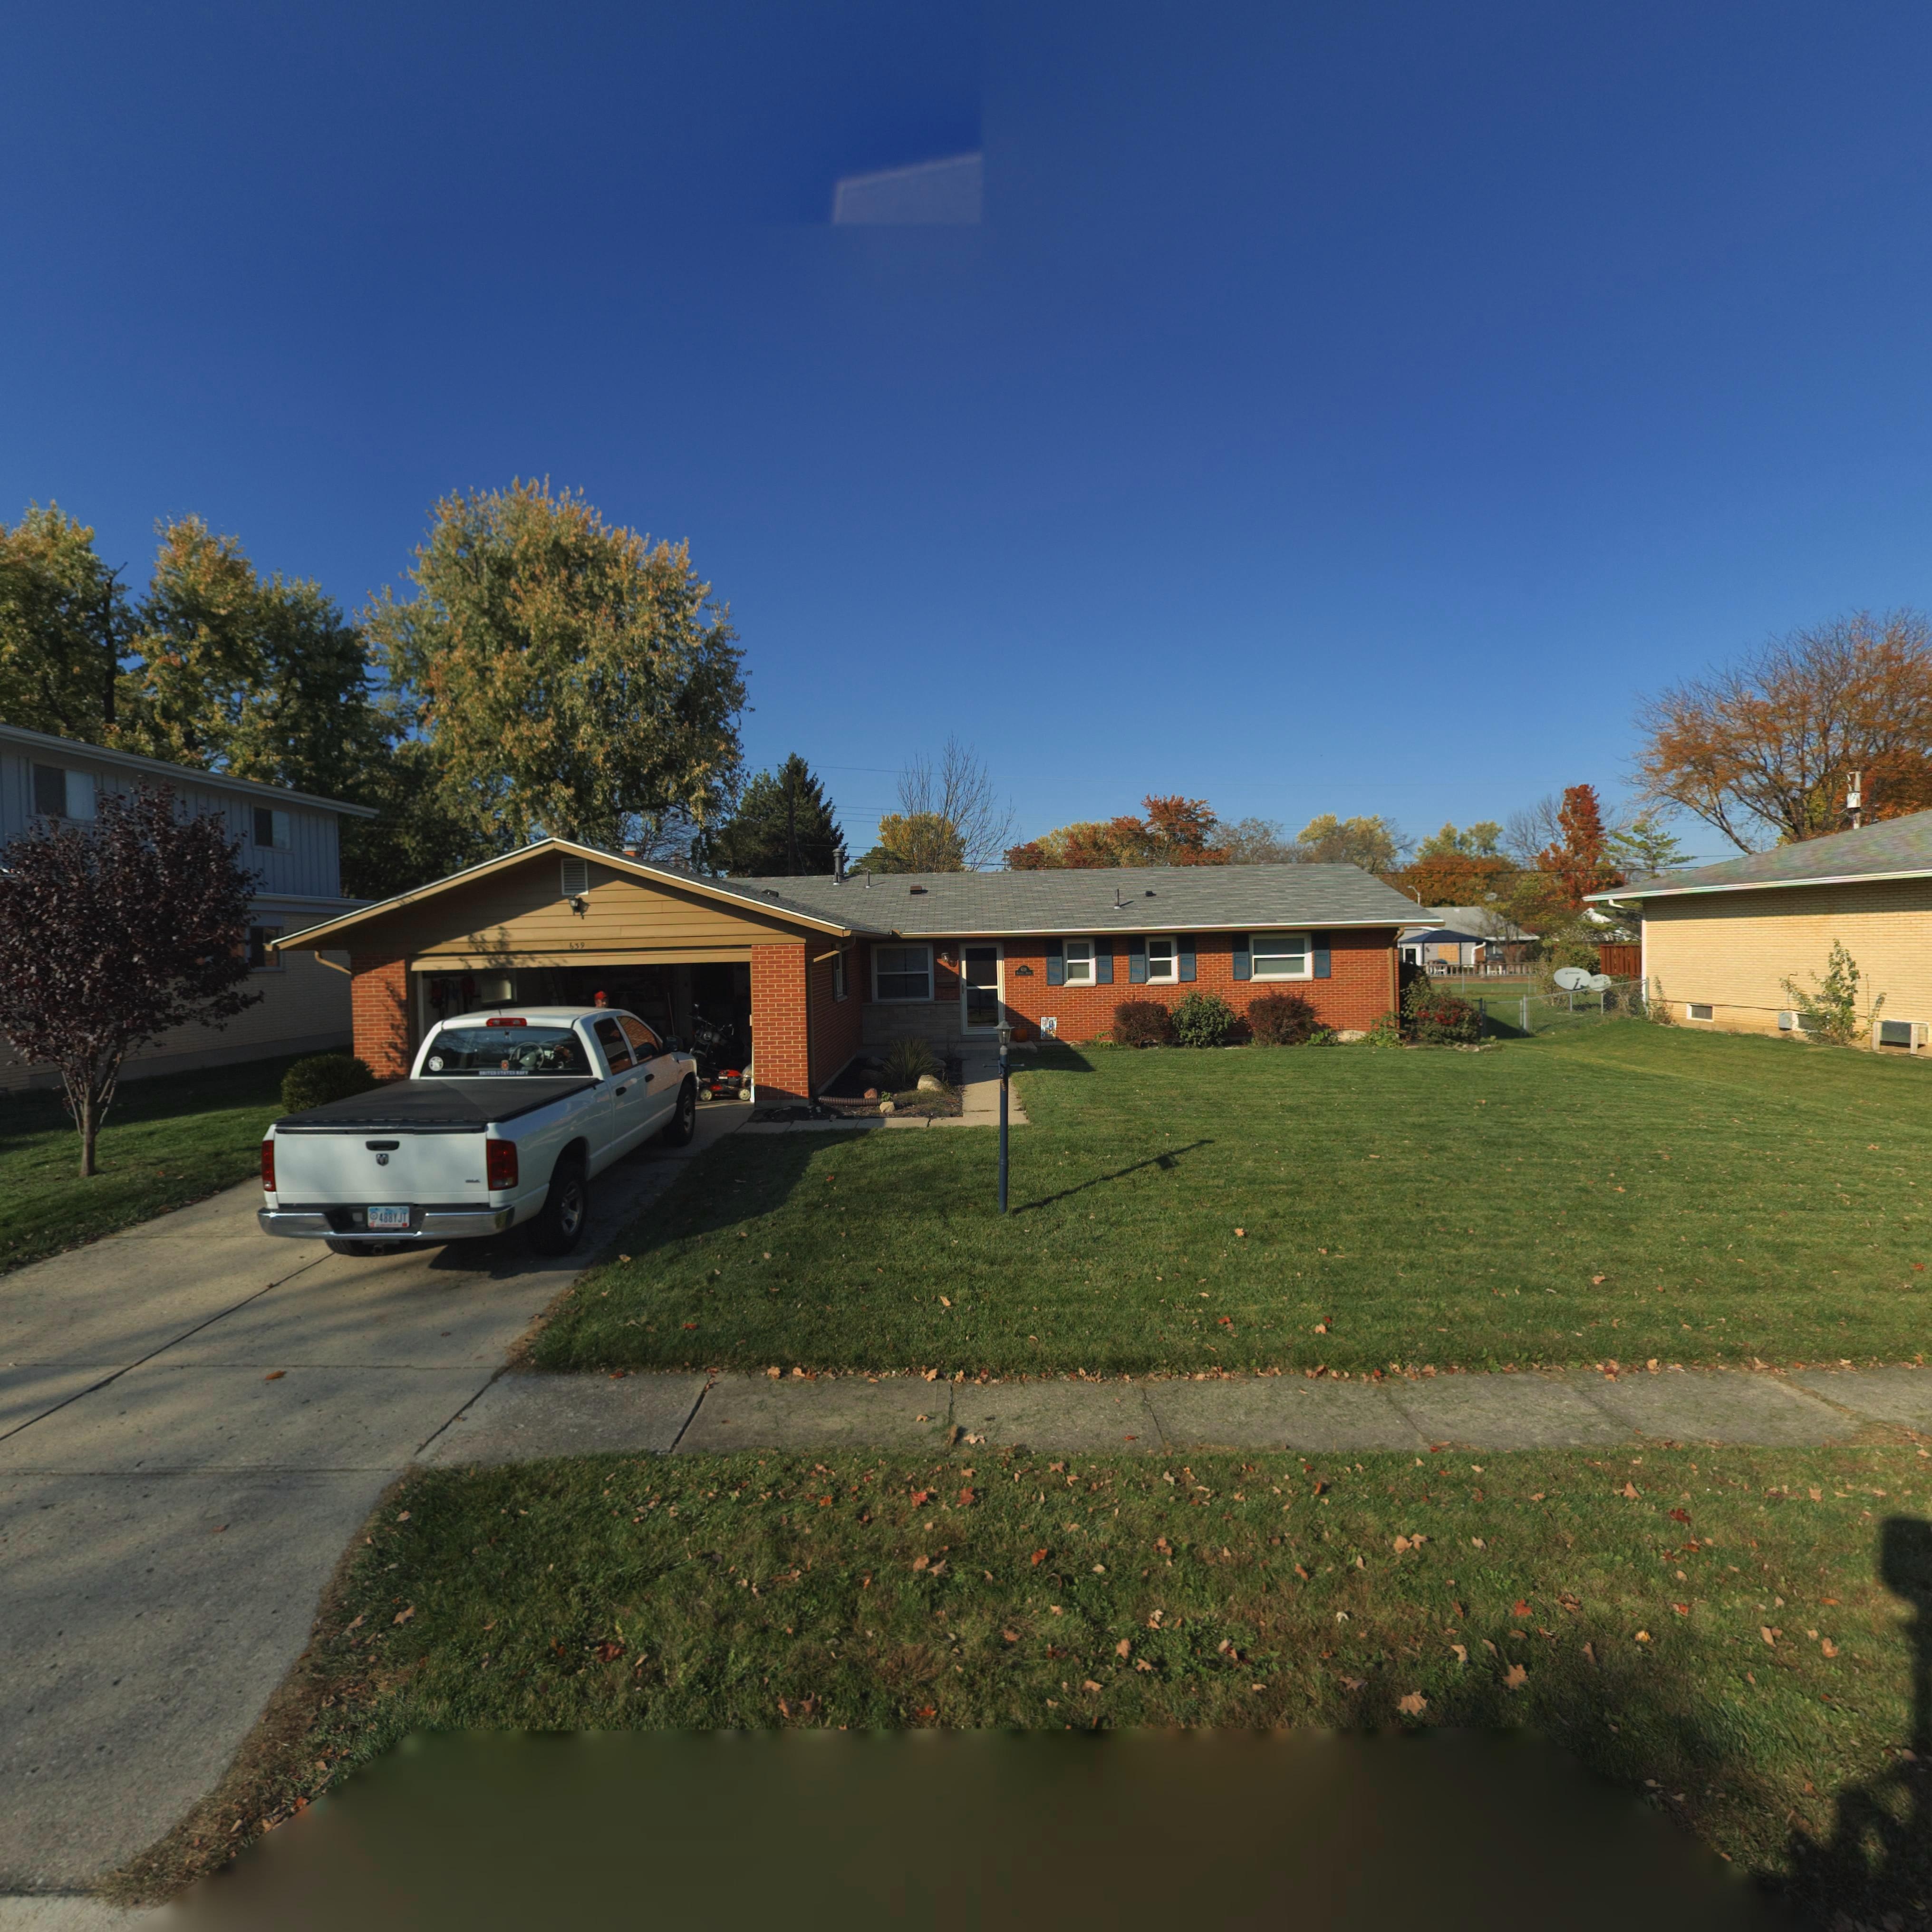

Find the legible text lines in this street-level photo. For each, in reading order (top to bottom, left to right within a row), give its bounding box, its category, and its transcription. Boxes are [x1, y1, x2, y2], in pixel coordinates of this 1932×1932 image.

[569, 941, 585, 950] StreetNumber: 639
[1020, 967, 1027, 972] StreetNumber: 6*9